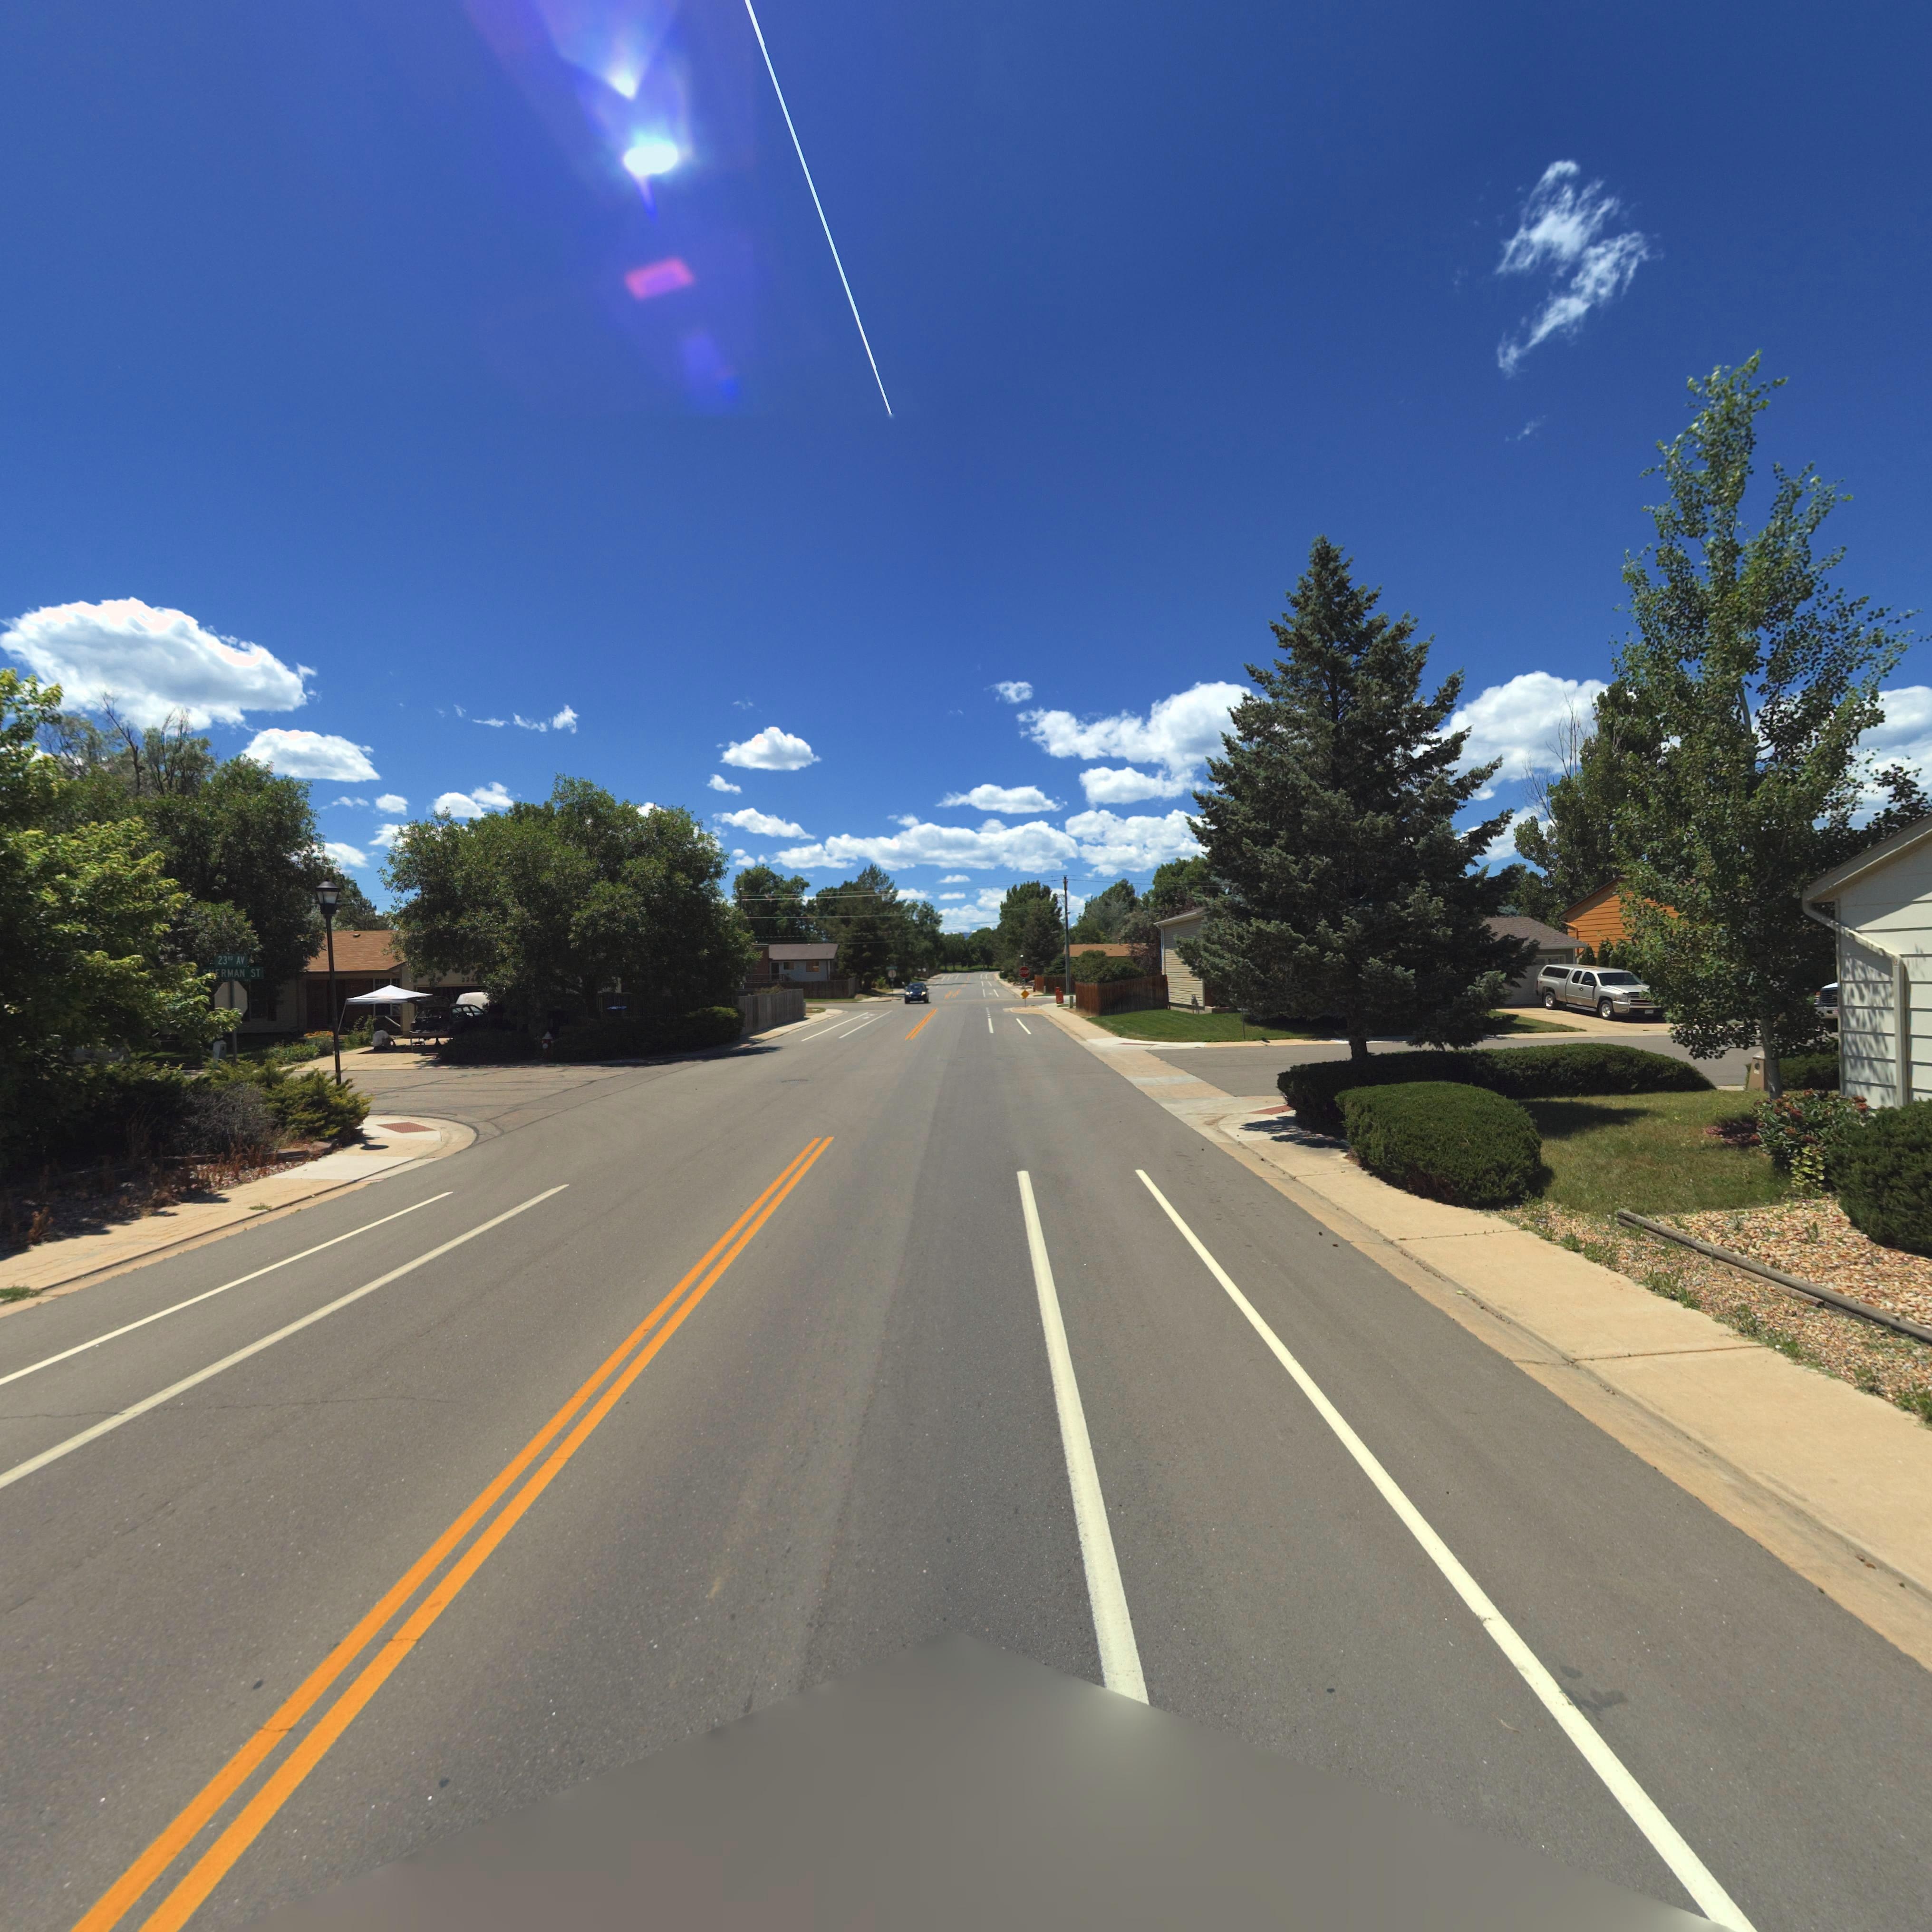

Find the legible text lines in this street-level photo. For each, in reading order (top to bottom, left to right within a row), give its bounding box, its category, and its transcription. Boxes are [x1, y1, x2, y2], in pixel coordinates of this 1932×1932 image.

[218, 955, 245, 965] StreetName: 23RD AV
[203, 968, 261, 978] StreetName: **ERMAN ST
[461, 977, 475, 983] StreetNumber: 224